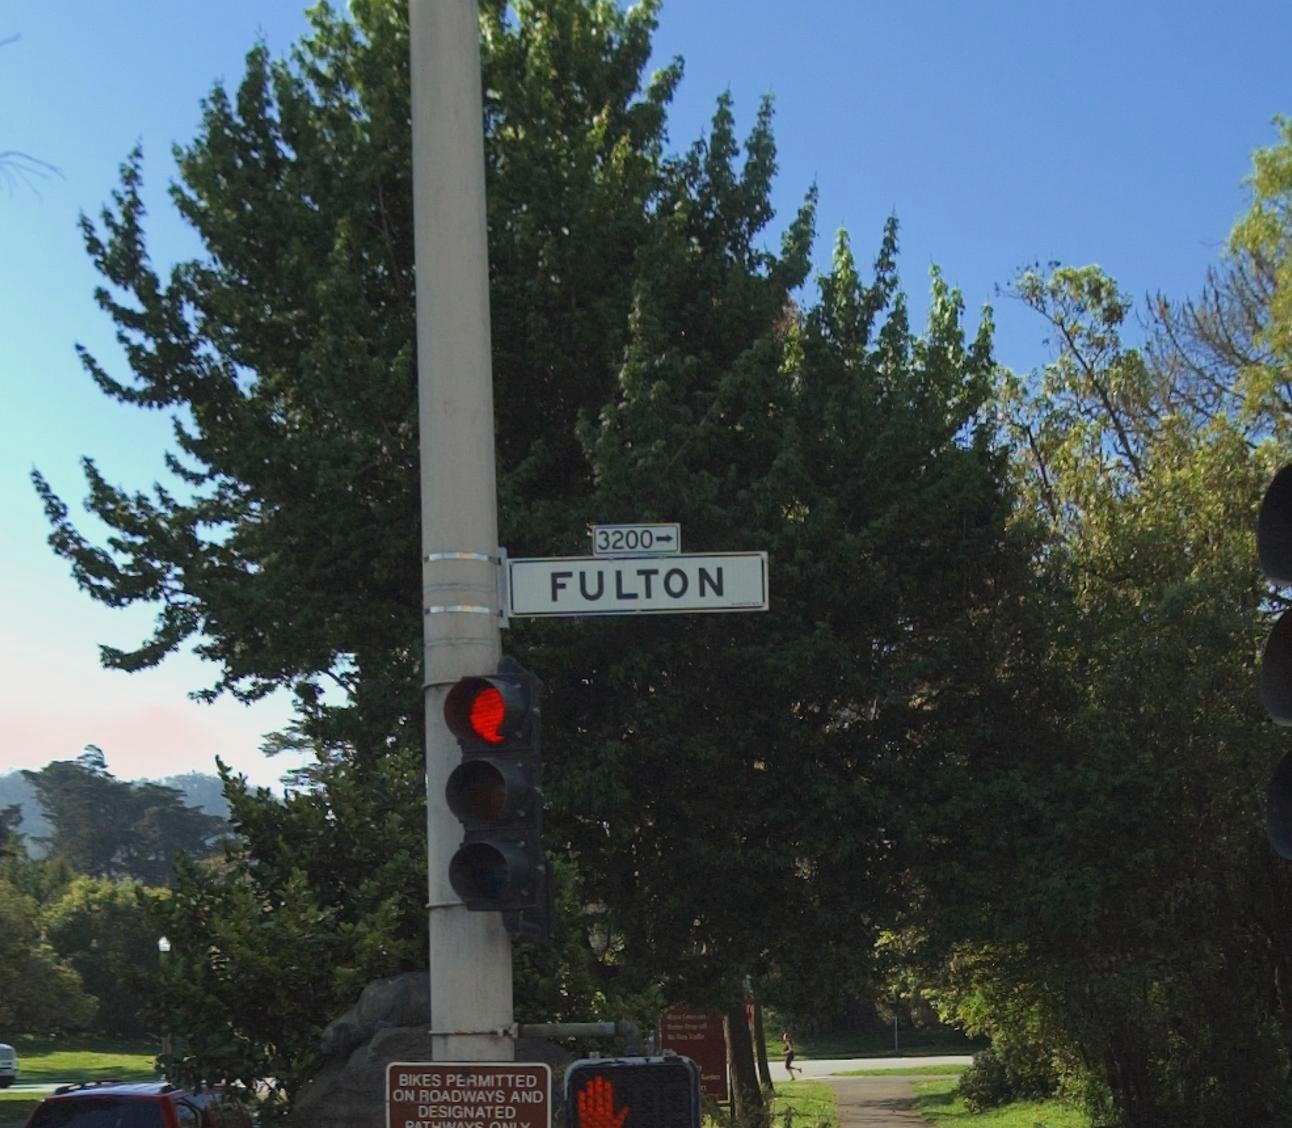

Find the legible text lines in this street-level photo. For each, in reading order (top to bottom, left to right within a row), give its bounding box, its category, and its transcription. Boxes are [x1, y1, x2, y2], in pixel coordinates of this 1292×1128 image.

[592, 528, 679, 552] StreetNumberRange: 3200->
[548, 564, 730, 606] StreetName: FULTON
[398, 1072, 536, 1088] None: BIKES PERMITTED
[391, 1087, 542, 1103] None: ON ROADWAYS AND
[417, 1104, 516, 1121] None: DESIGNATED